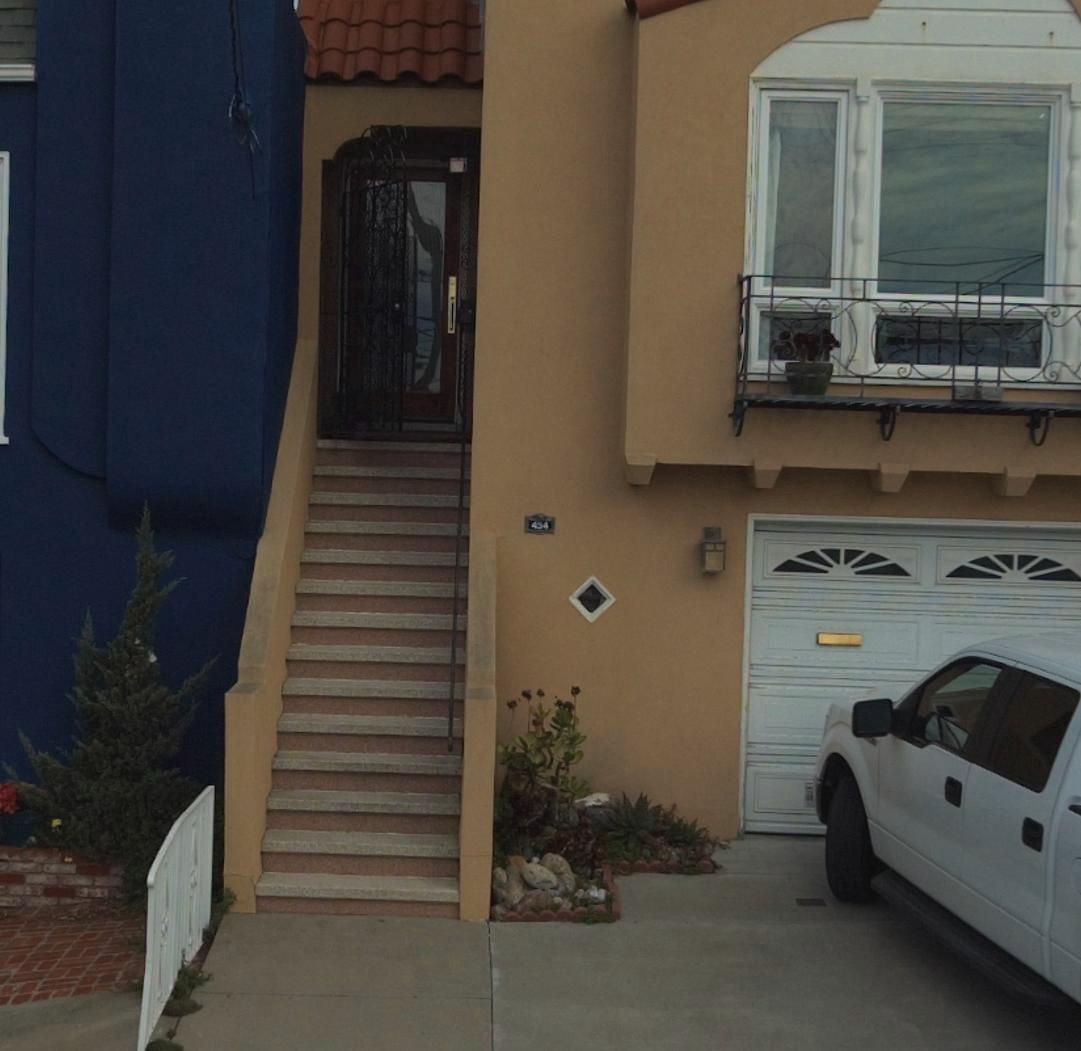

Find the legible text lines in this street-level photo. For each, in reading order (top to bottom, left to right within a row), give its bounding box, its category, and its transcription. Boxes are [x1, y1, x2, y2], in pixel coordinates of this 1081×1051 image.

[530, 521, 550, 530] StreetNumber: 454